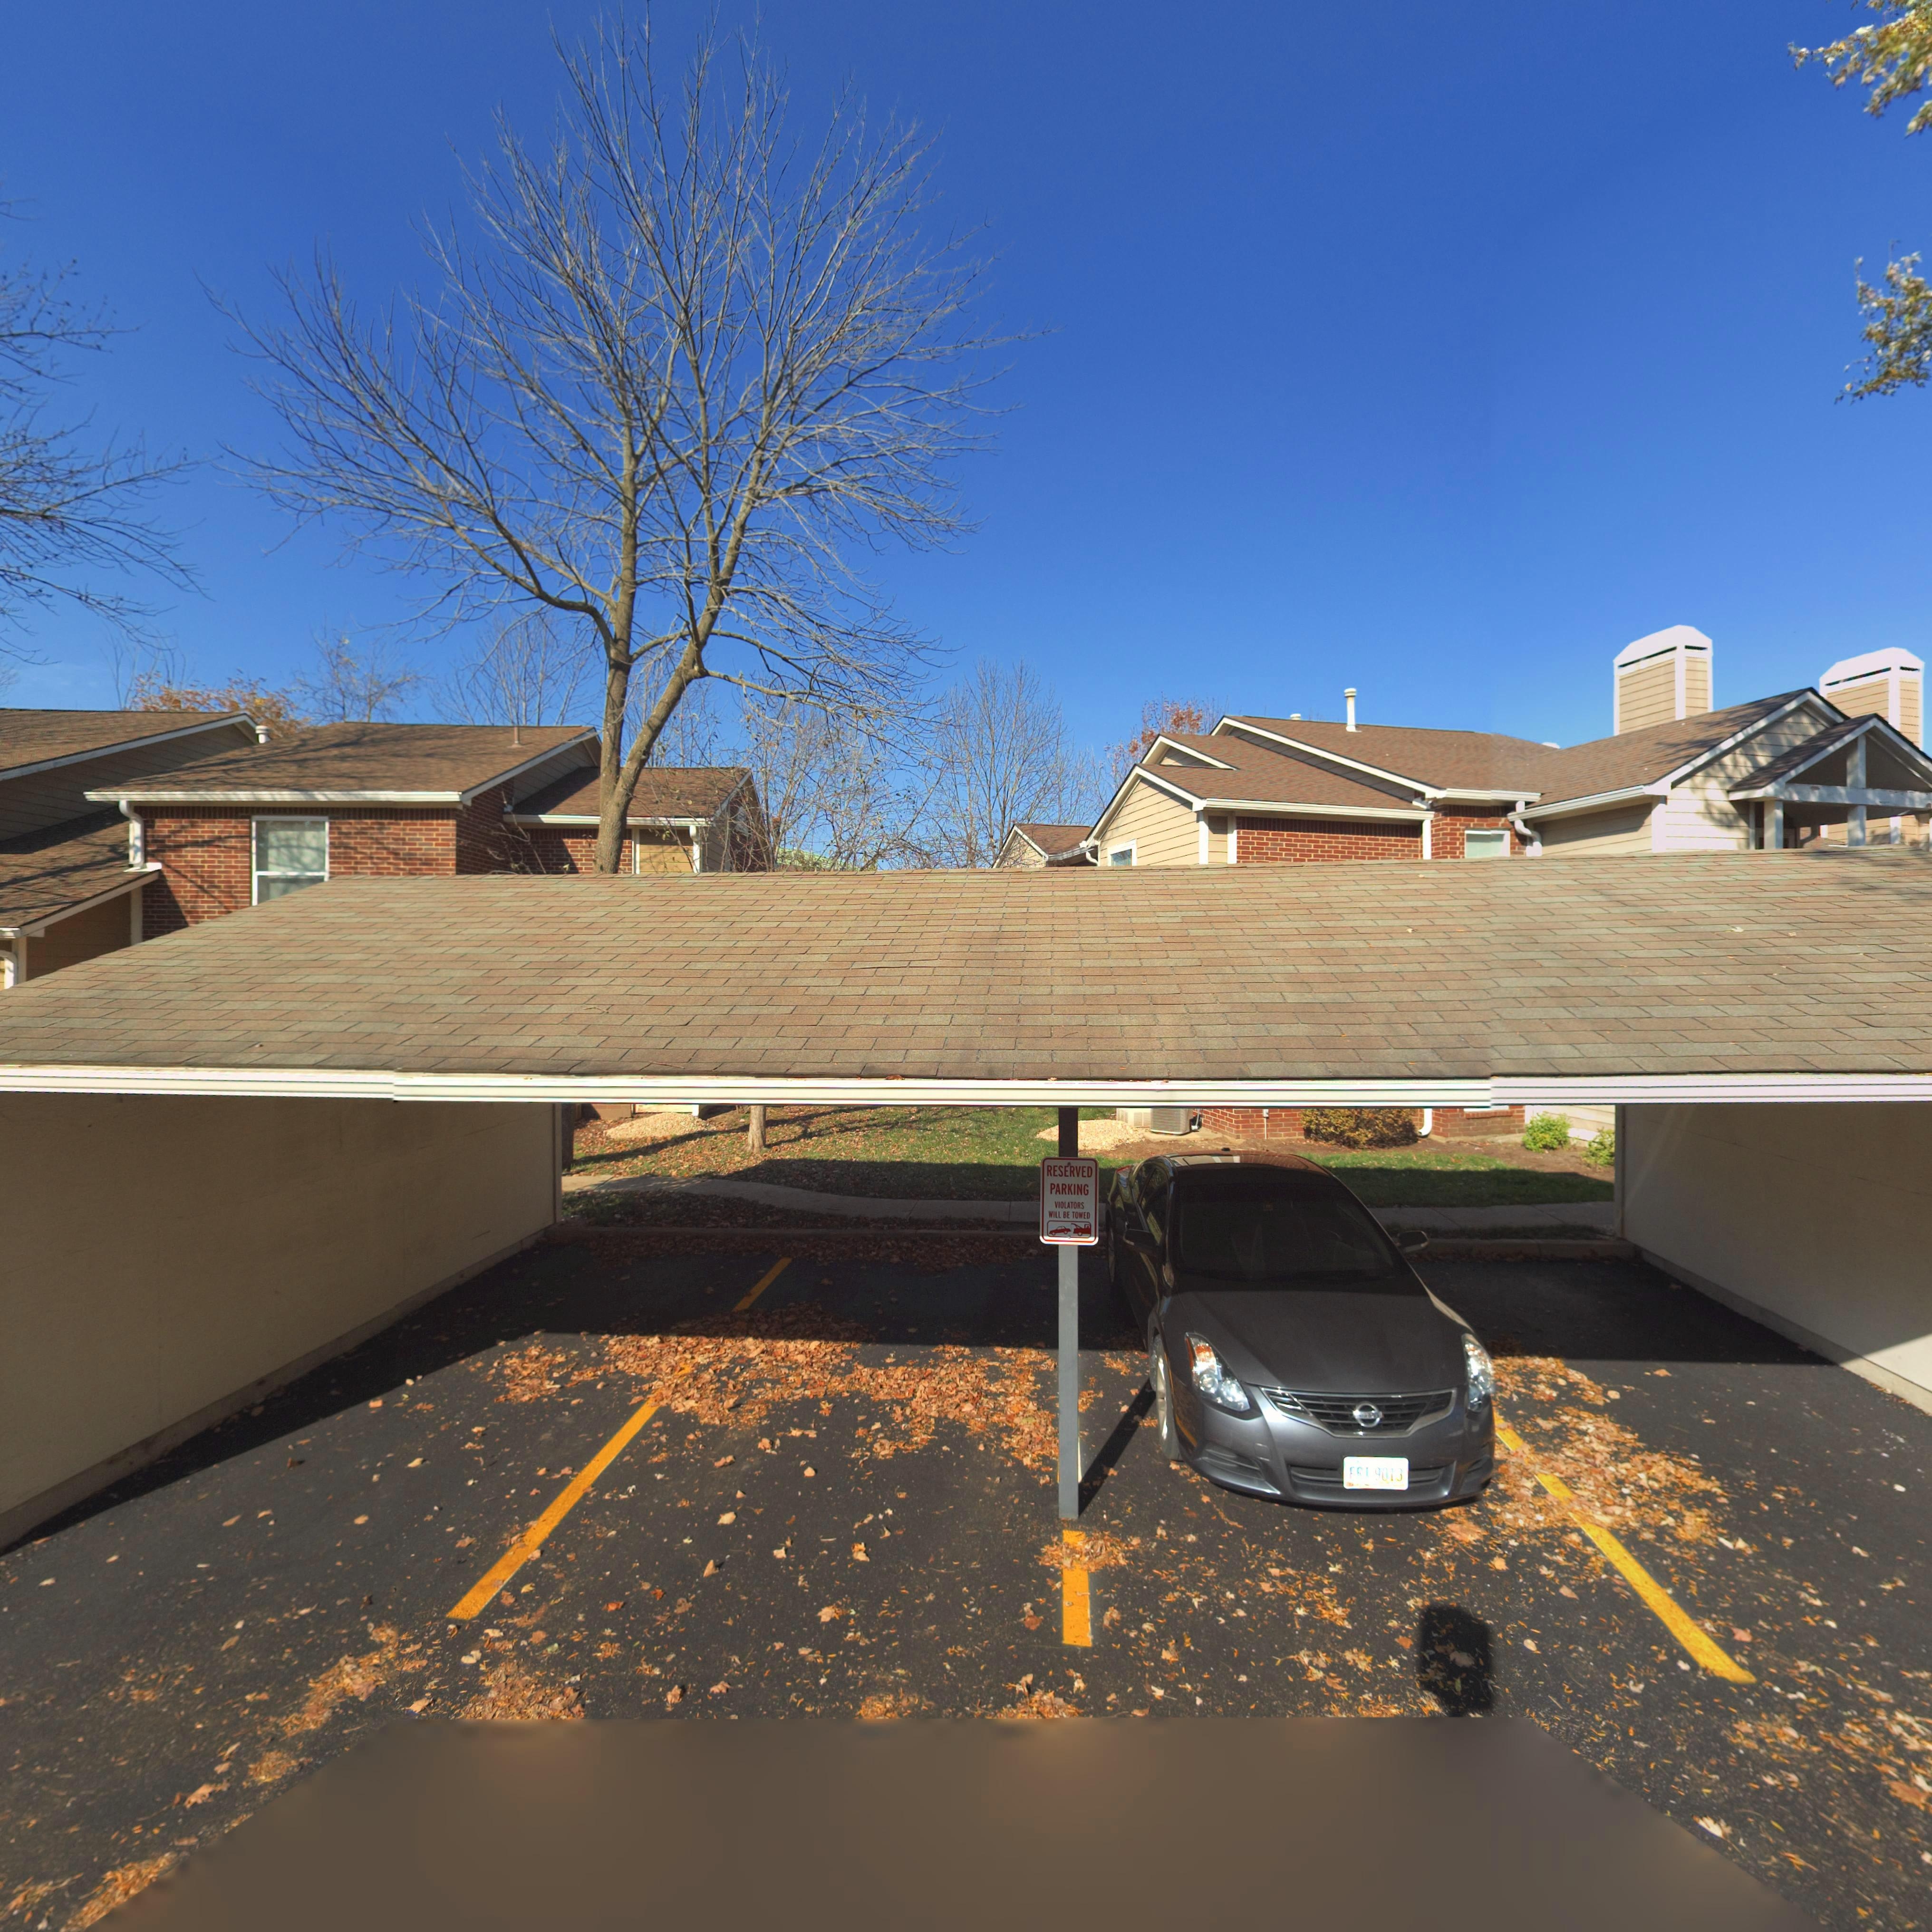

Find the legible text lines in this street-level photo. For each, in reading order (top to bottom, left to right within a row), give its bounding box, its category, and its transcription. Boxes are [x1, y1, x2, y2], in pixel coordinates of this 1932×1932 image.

[1046, 1165, 1093, 1179] None: RESERVED
[1049, 1182, 1090, 1197] None: PARKING
[1053, 1200, 1086, 1211] None: VIOLATORS
[1047, 1210, 1091, 1220] None: WILL BE TOWED
[1374, 1466, 1404, 1483] None: 9013